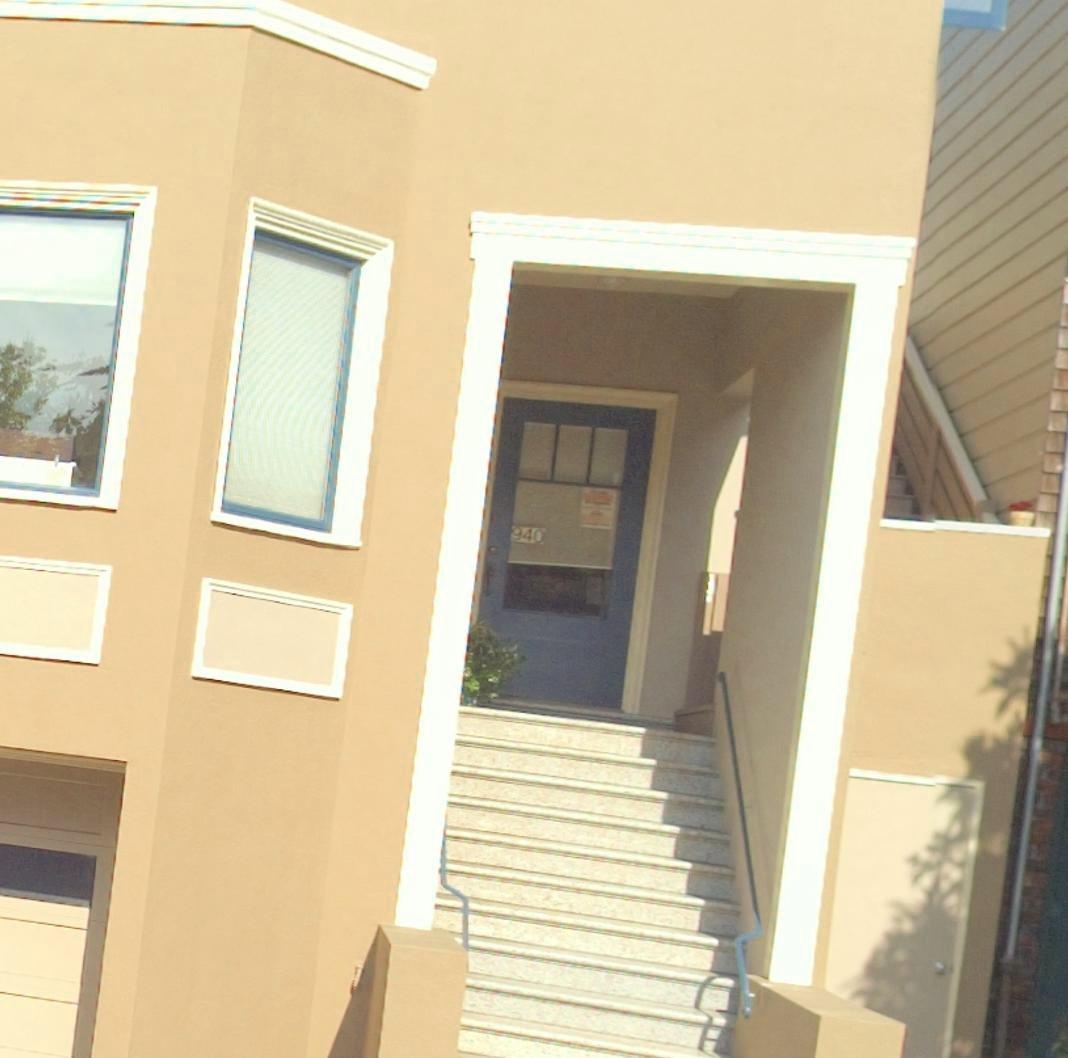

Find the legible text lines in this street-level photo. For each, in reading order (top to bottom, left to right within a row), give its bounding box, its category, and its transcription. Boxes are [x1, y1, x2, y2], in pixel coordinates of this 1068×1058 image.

[509, 526, 546, 545] StreetNumber: 940